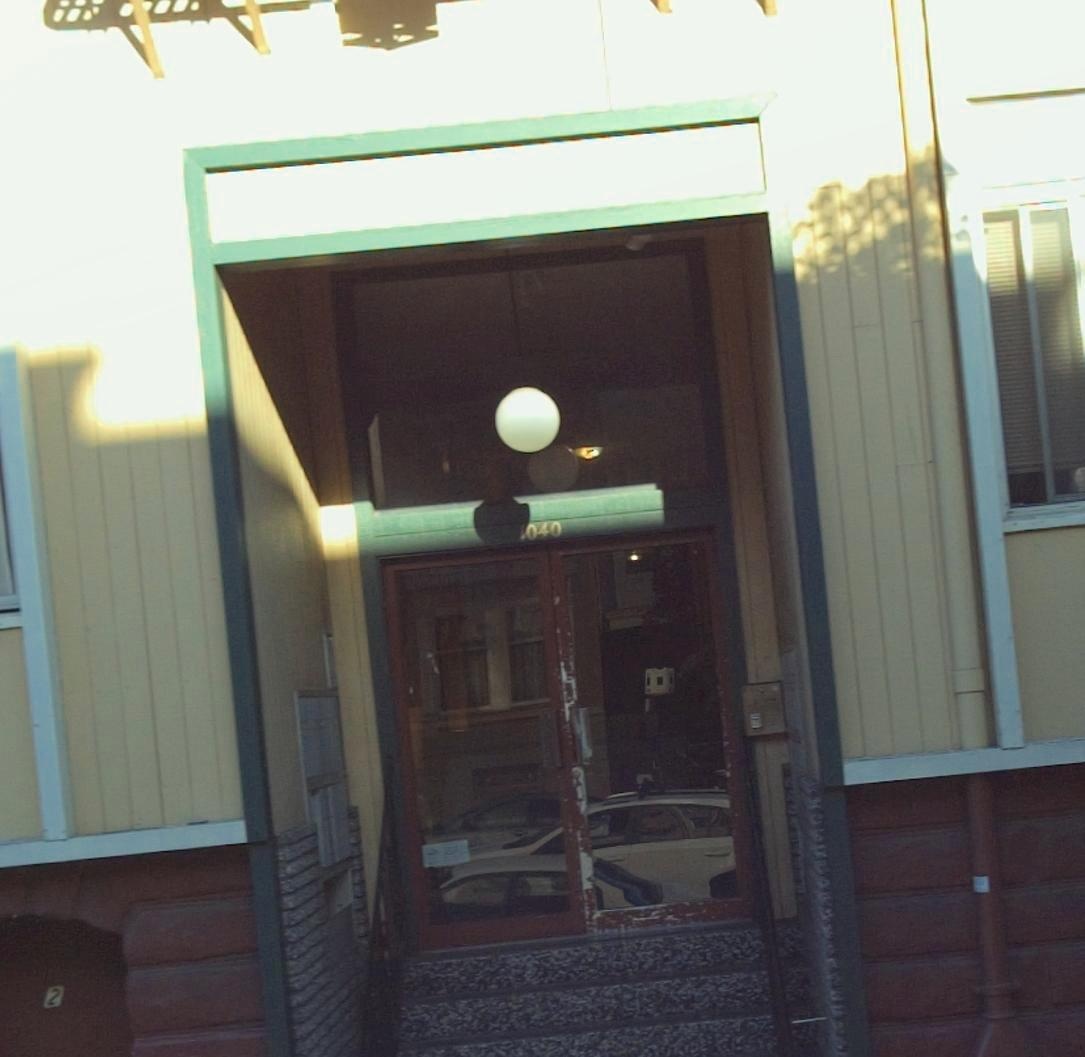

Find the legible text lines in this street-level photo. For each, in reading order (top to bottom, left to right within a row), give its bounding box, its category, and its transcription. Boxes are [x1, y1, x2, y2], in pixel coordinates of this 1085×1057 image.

[515, 519, 564, 544] StreetNumber: 1040
[45, 985, 62, 1007] None: 2